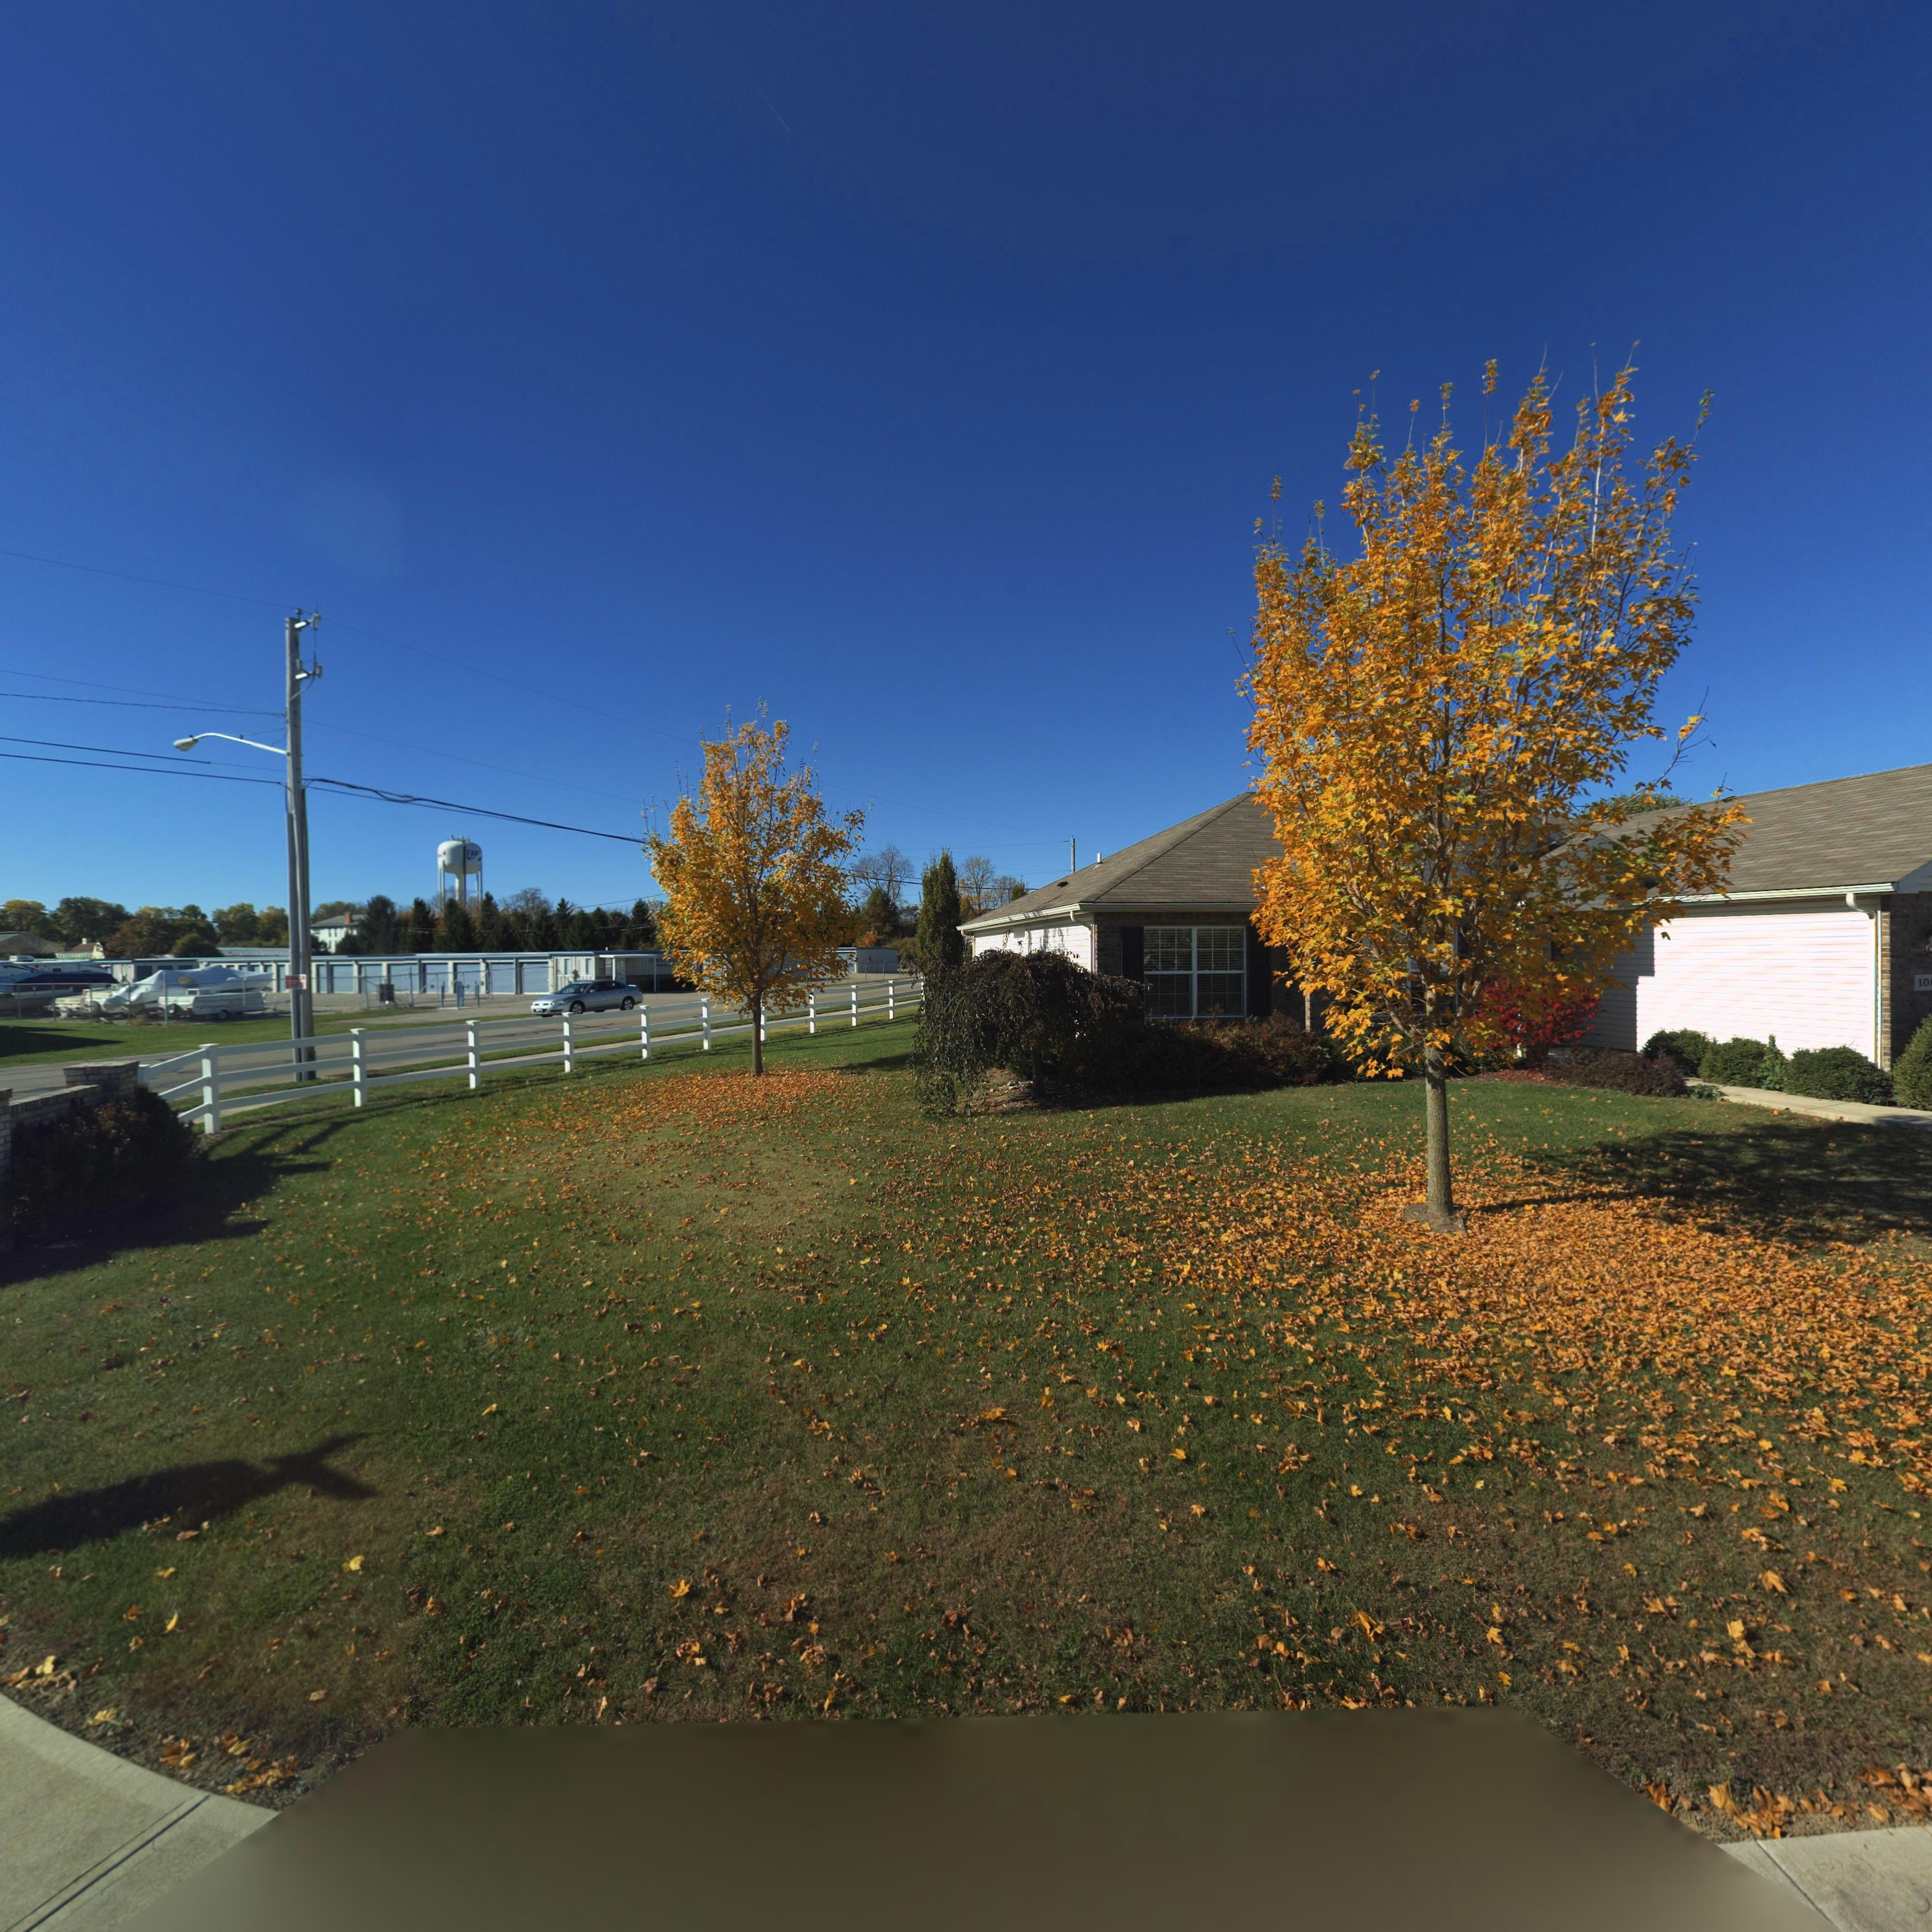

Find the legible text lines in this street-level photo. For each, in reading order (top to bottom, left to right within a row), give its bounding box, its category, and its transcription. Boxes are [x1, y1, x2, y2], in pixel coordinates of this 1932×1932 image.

[1917, 977, 1930, 987] StreetNumber: 10